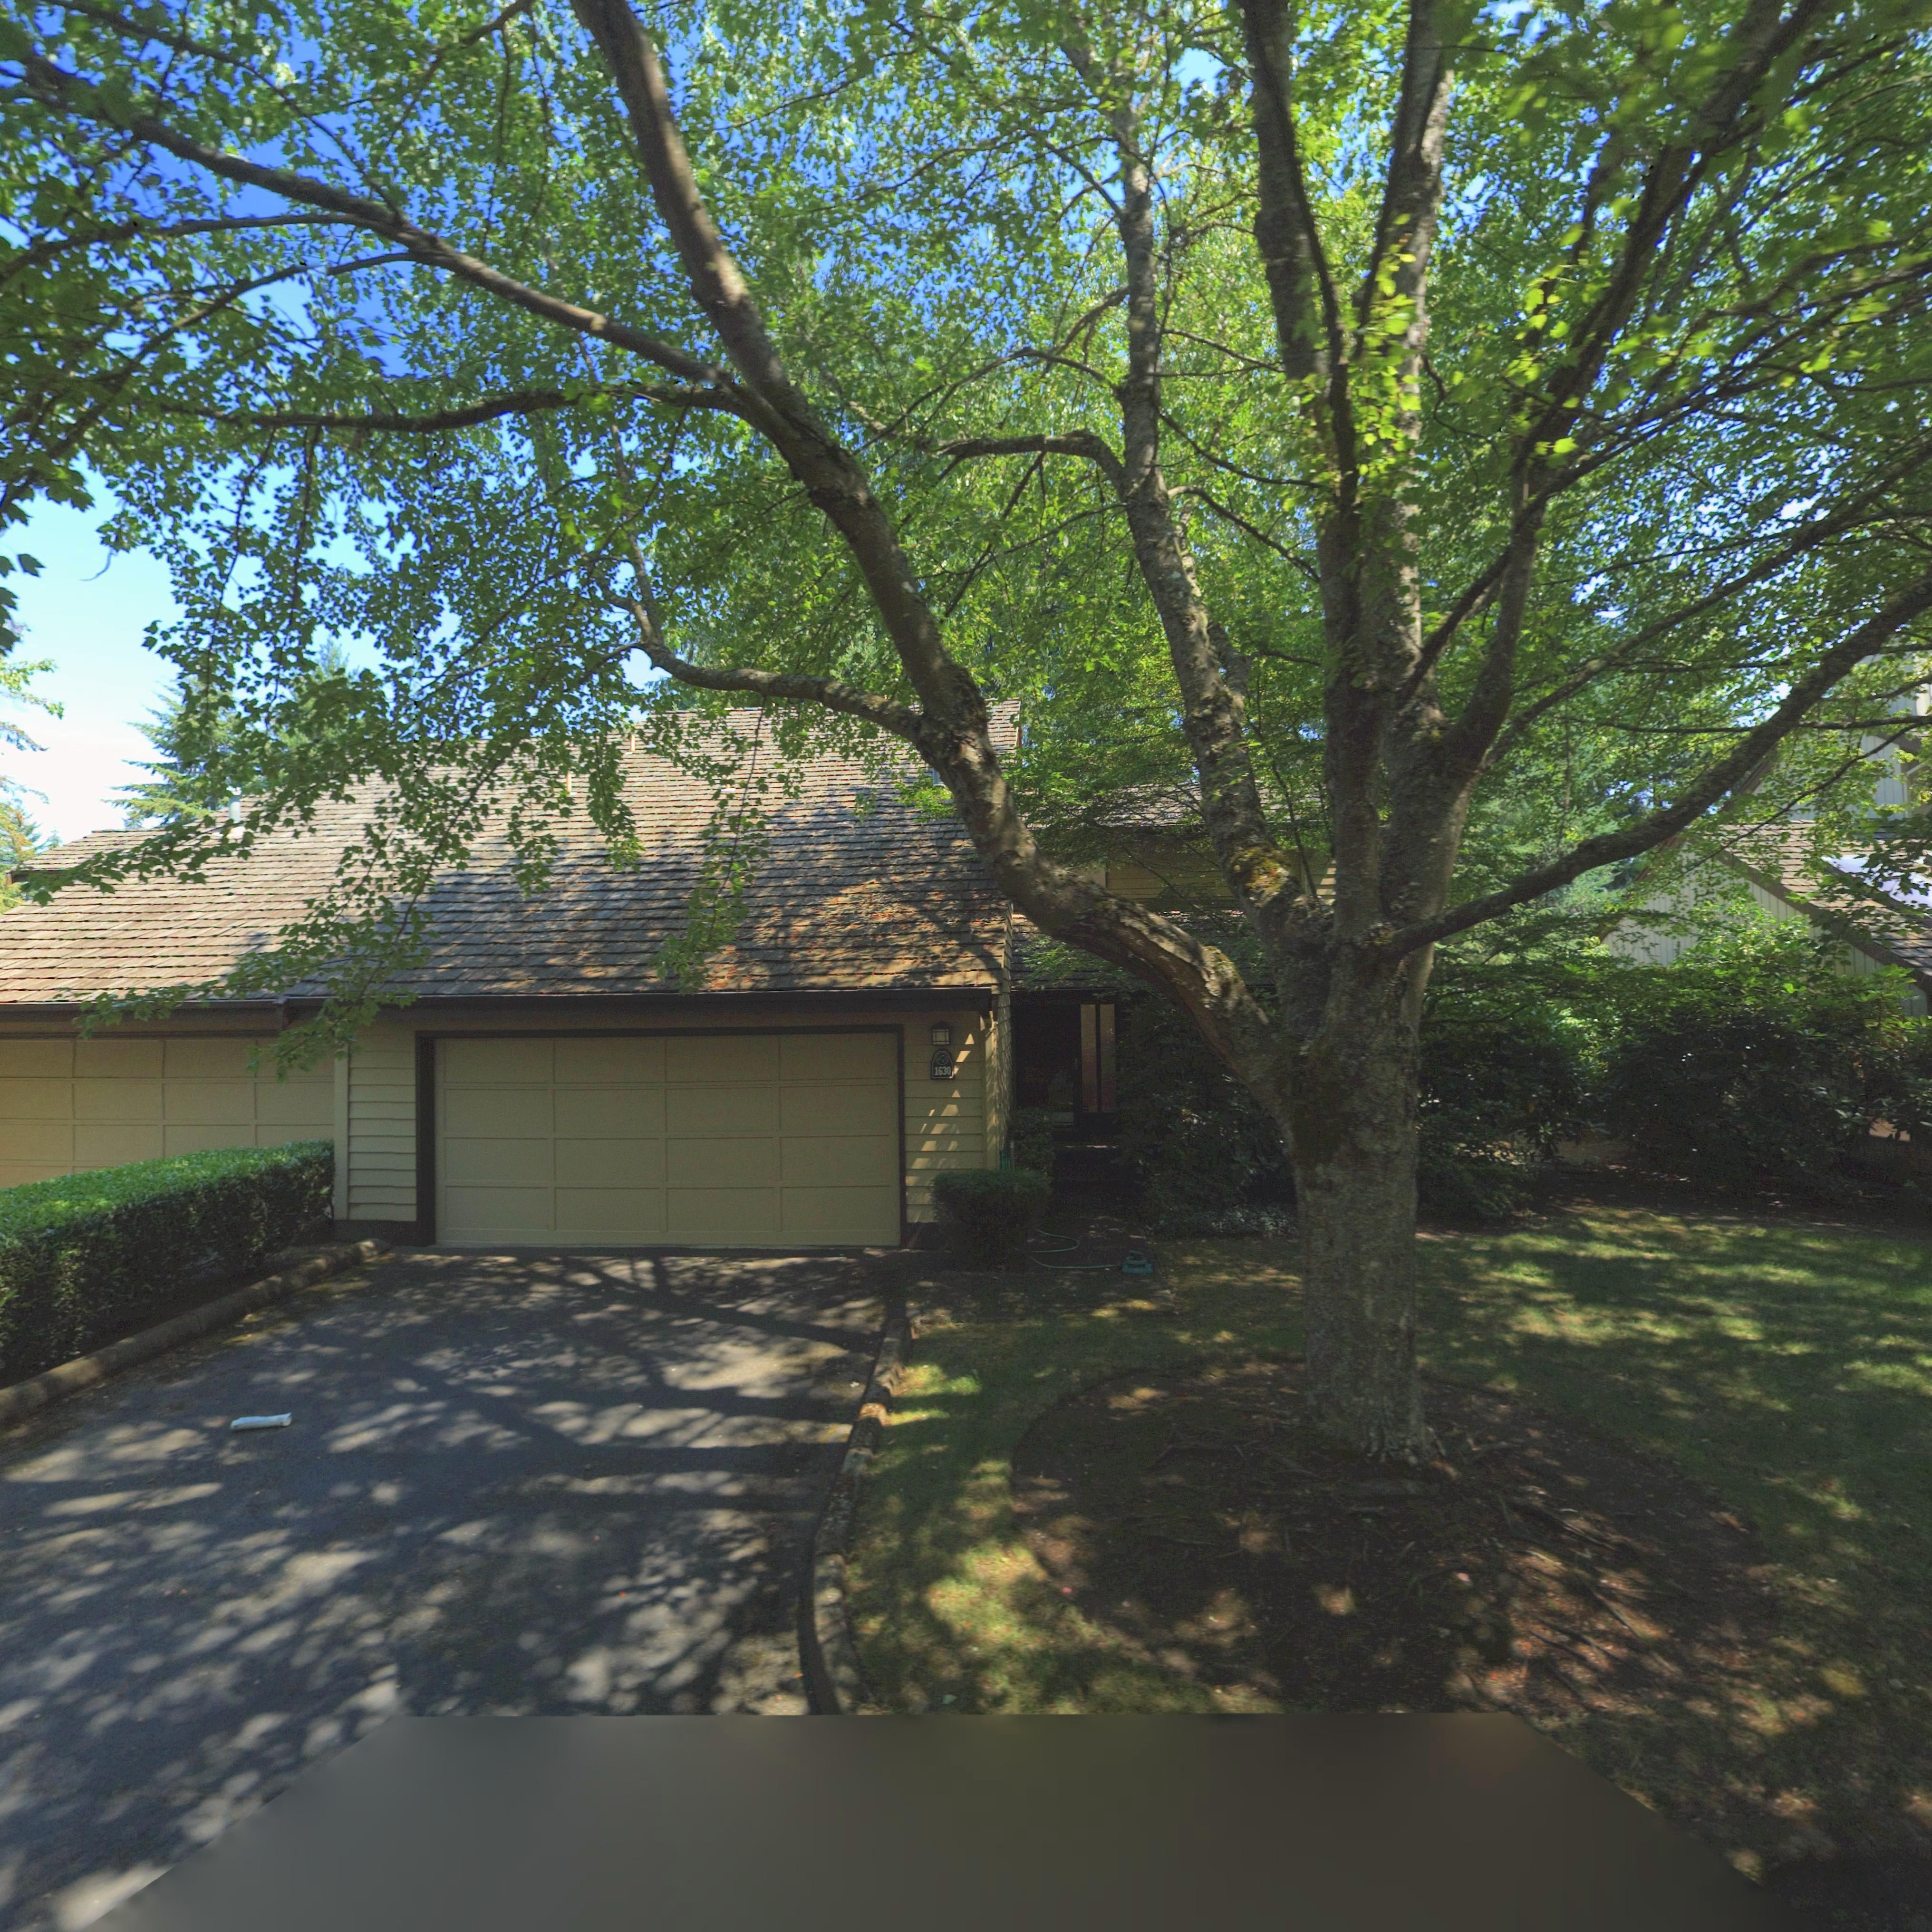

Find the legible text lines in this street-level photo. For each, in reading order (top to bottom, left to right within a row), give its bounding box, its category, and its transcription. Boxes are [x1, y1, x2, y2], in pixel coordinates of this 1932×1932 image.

[933, 1065, 951, 1075] StreetNumber: 1630